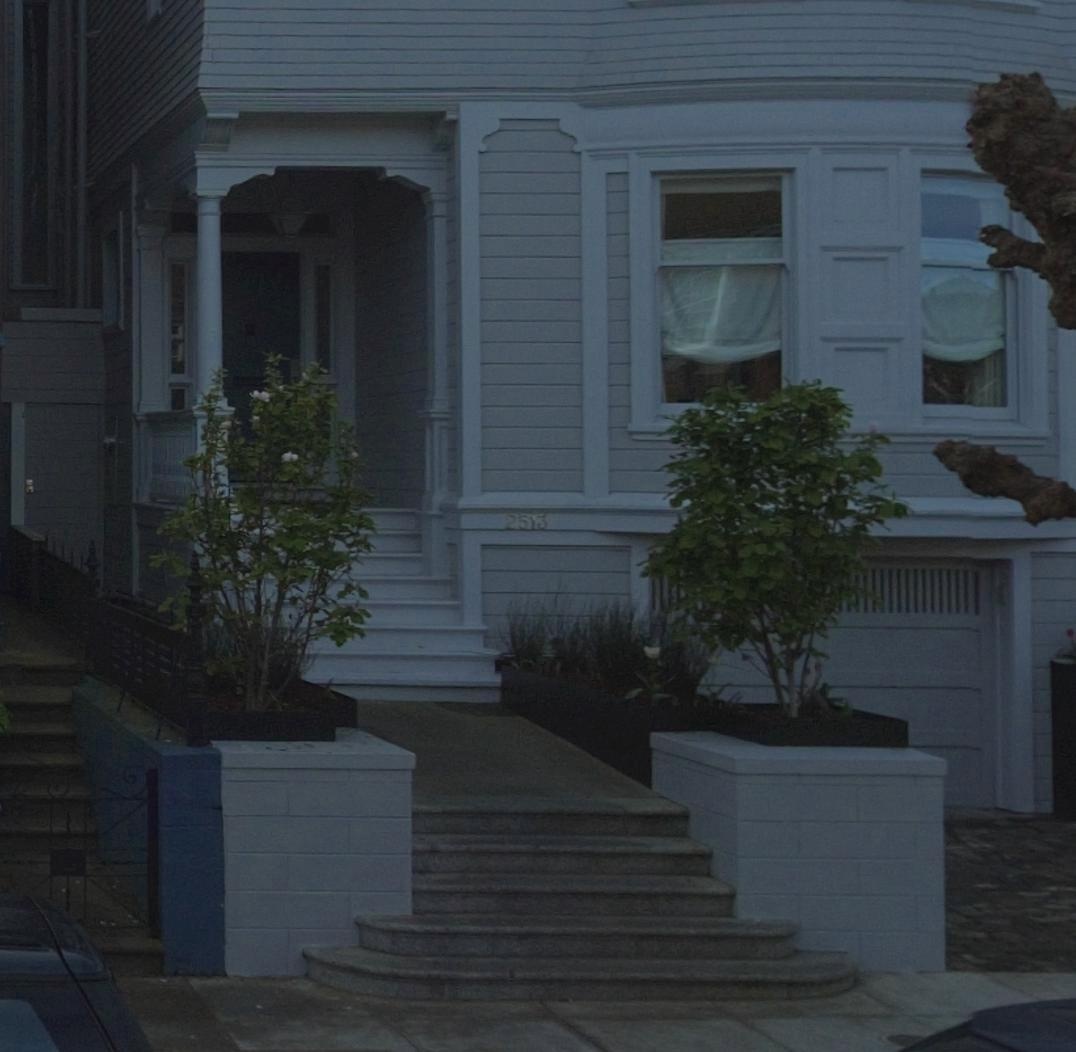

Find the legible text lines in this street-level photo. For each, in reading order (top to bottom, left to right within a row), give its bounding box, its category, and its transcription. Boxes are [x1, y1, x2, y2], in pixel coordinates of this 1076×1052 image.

[502, 512, 550, 533] StreetNumber: 2513